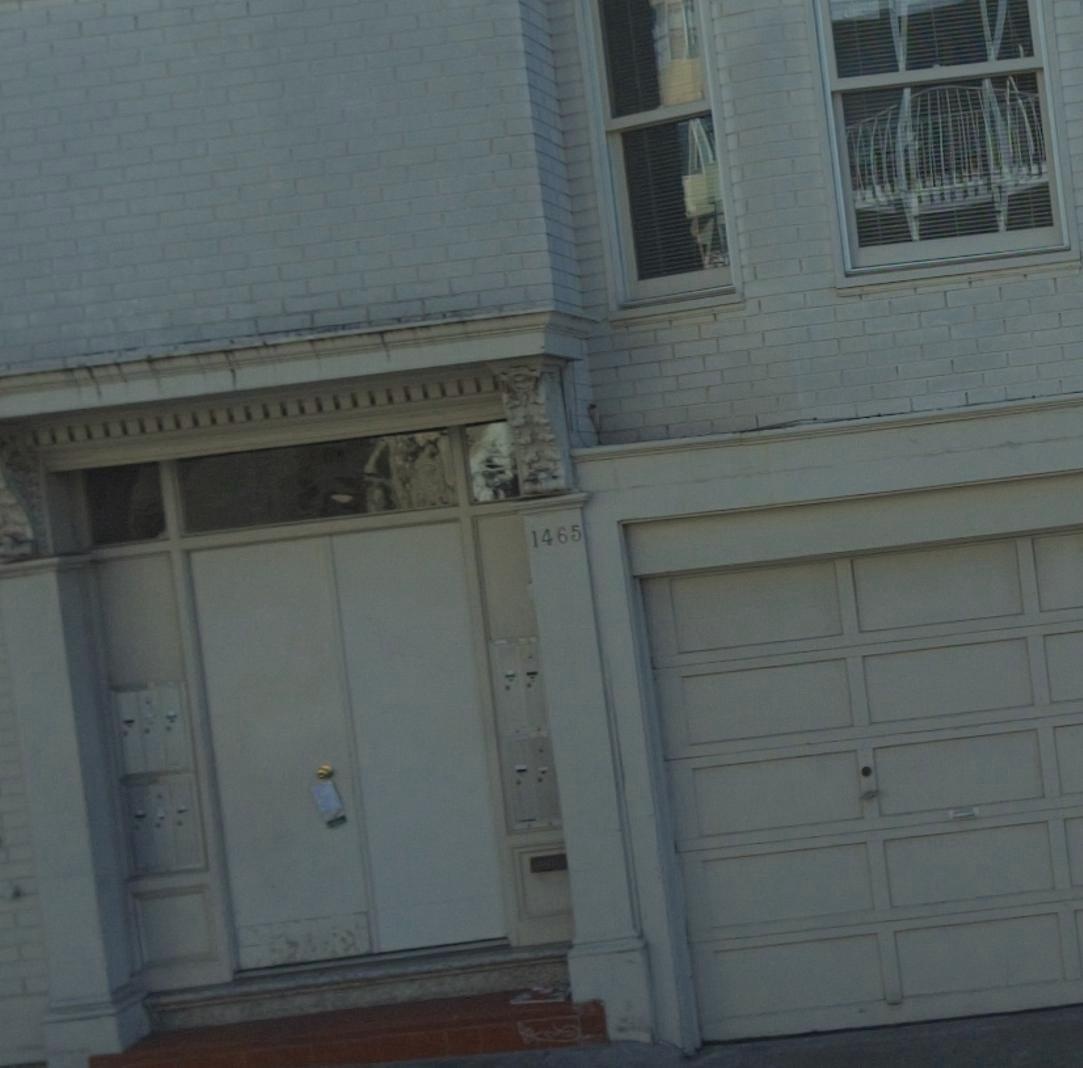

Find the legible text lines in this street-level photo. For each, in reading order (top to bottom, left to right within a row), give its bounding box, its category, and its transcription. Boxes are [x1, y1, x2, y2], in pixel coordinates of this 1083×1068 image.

[530, 523, 583, 550] StreetNumber: 1465